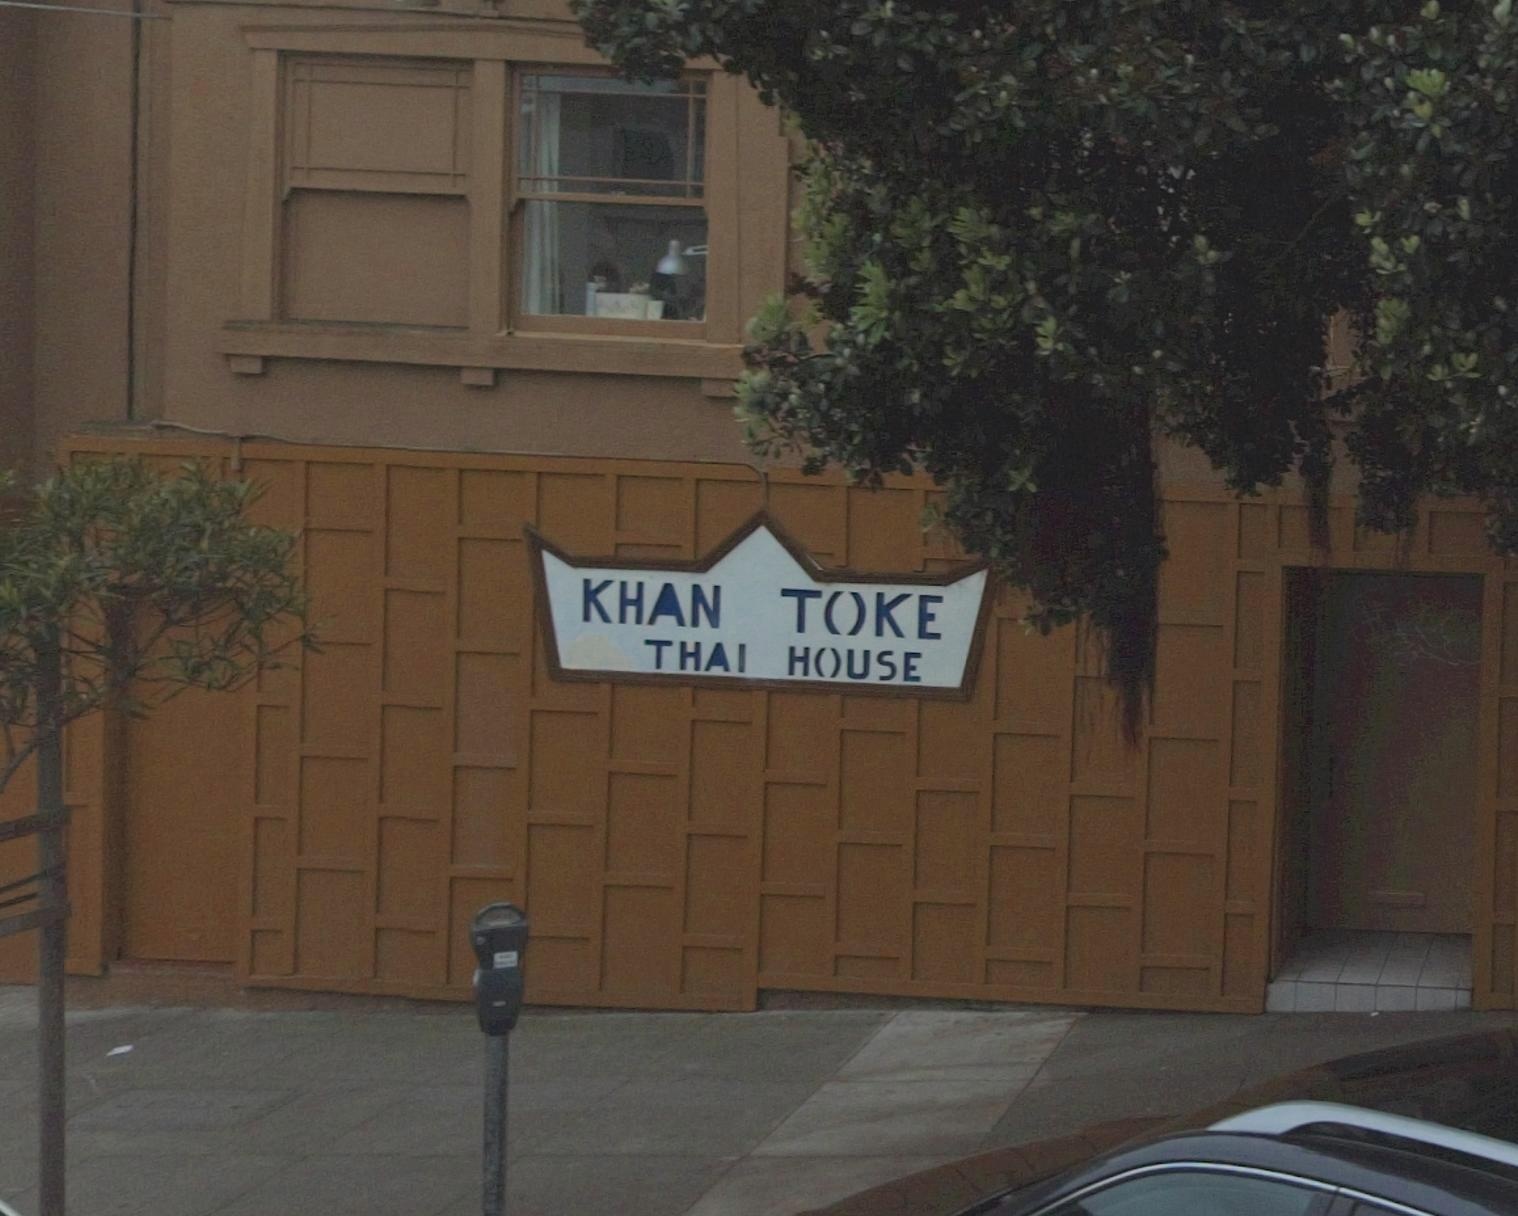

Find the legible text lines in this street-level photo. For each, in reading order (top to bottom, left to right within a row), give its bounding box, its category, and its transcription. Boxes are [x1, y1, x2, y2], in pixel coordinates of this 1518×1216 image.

[579, 575, 946, 643] BusinessName: KHAN T()KE
[640, 636, 925, 685] BusinessName: THAI H()USE